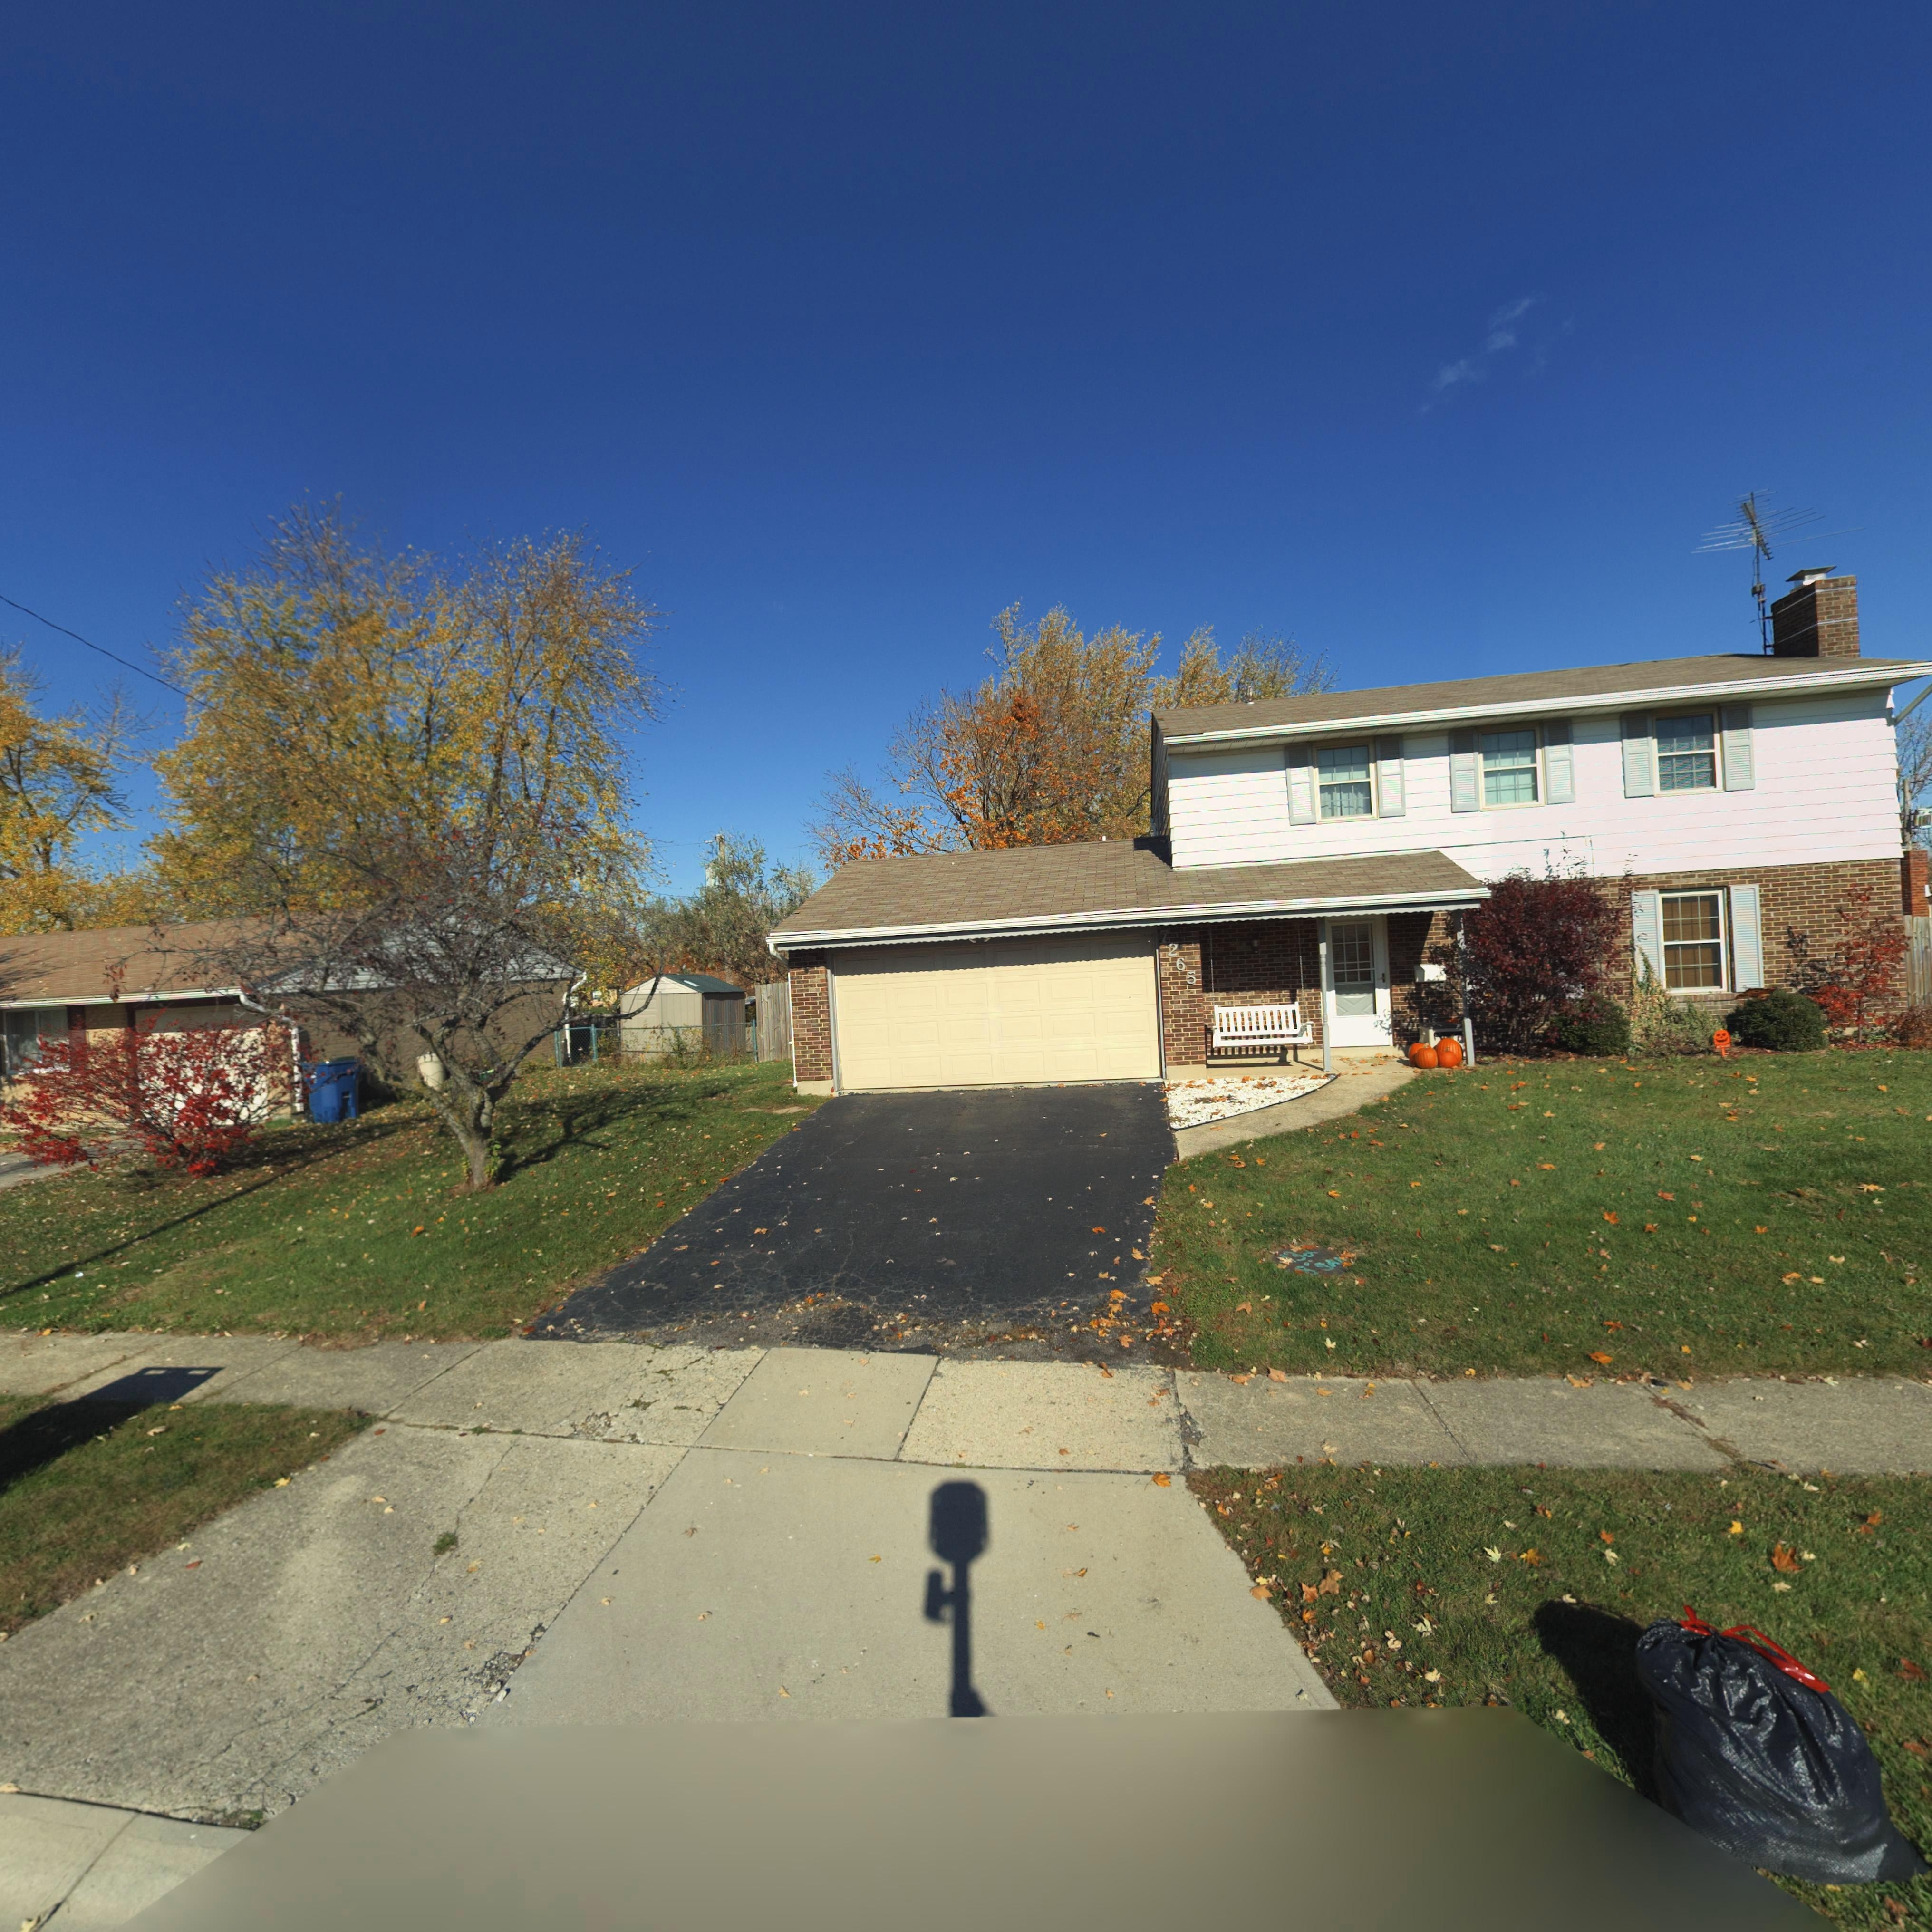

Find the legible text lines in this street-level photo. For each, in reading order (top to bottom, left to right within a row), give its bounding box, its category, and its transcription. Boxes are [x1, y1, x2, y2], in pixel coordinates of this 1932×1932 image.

[1159, 928, 1198, 985] StreetNumber: 7265